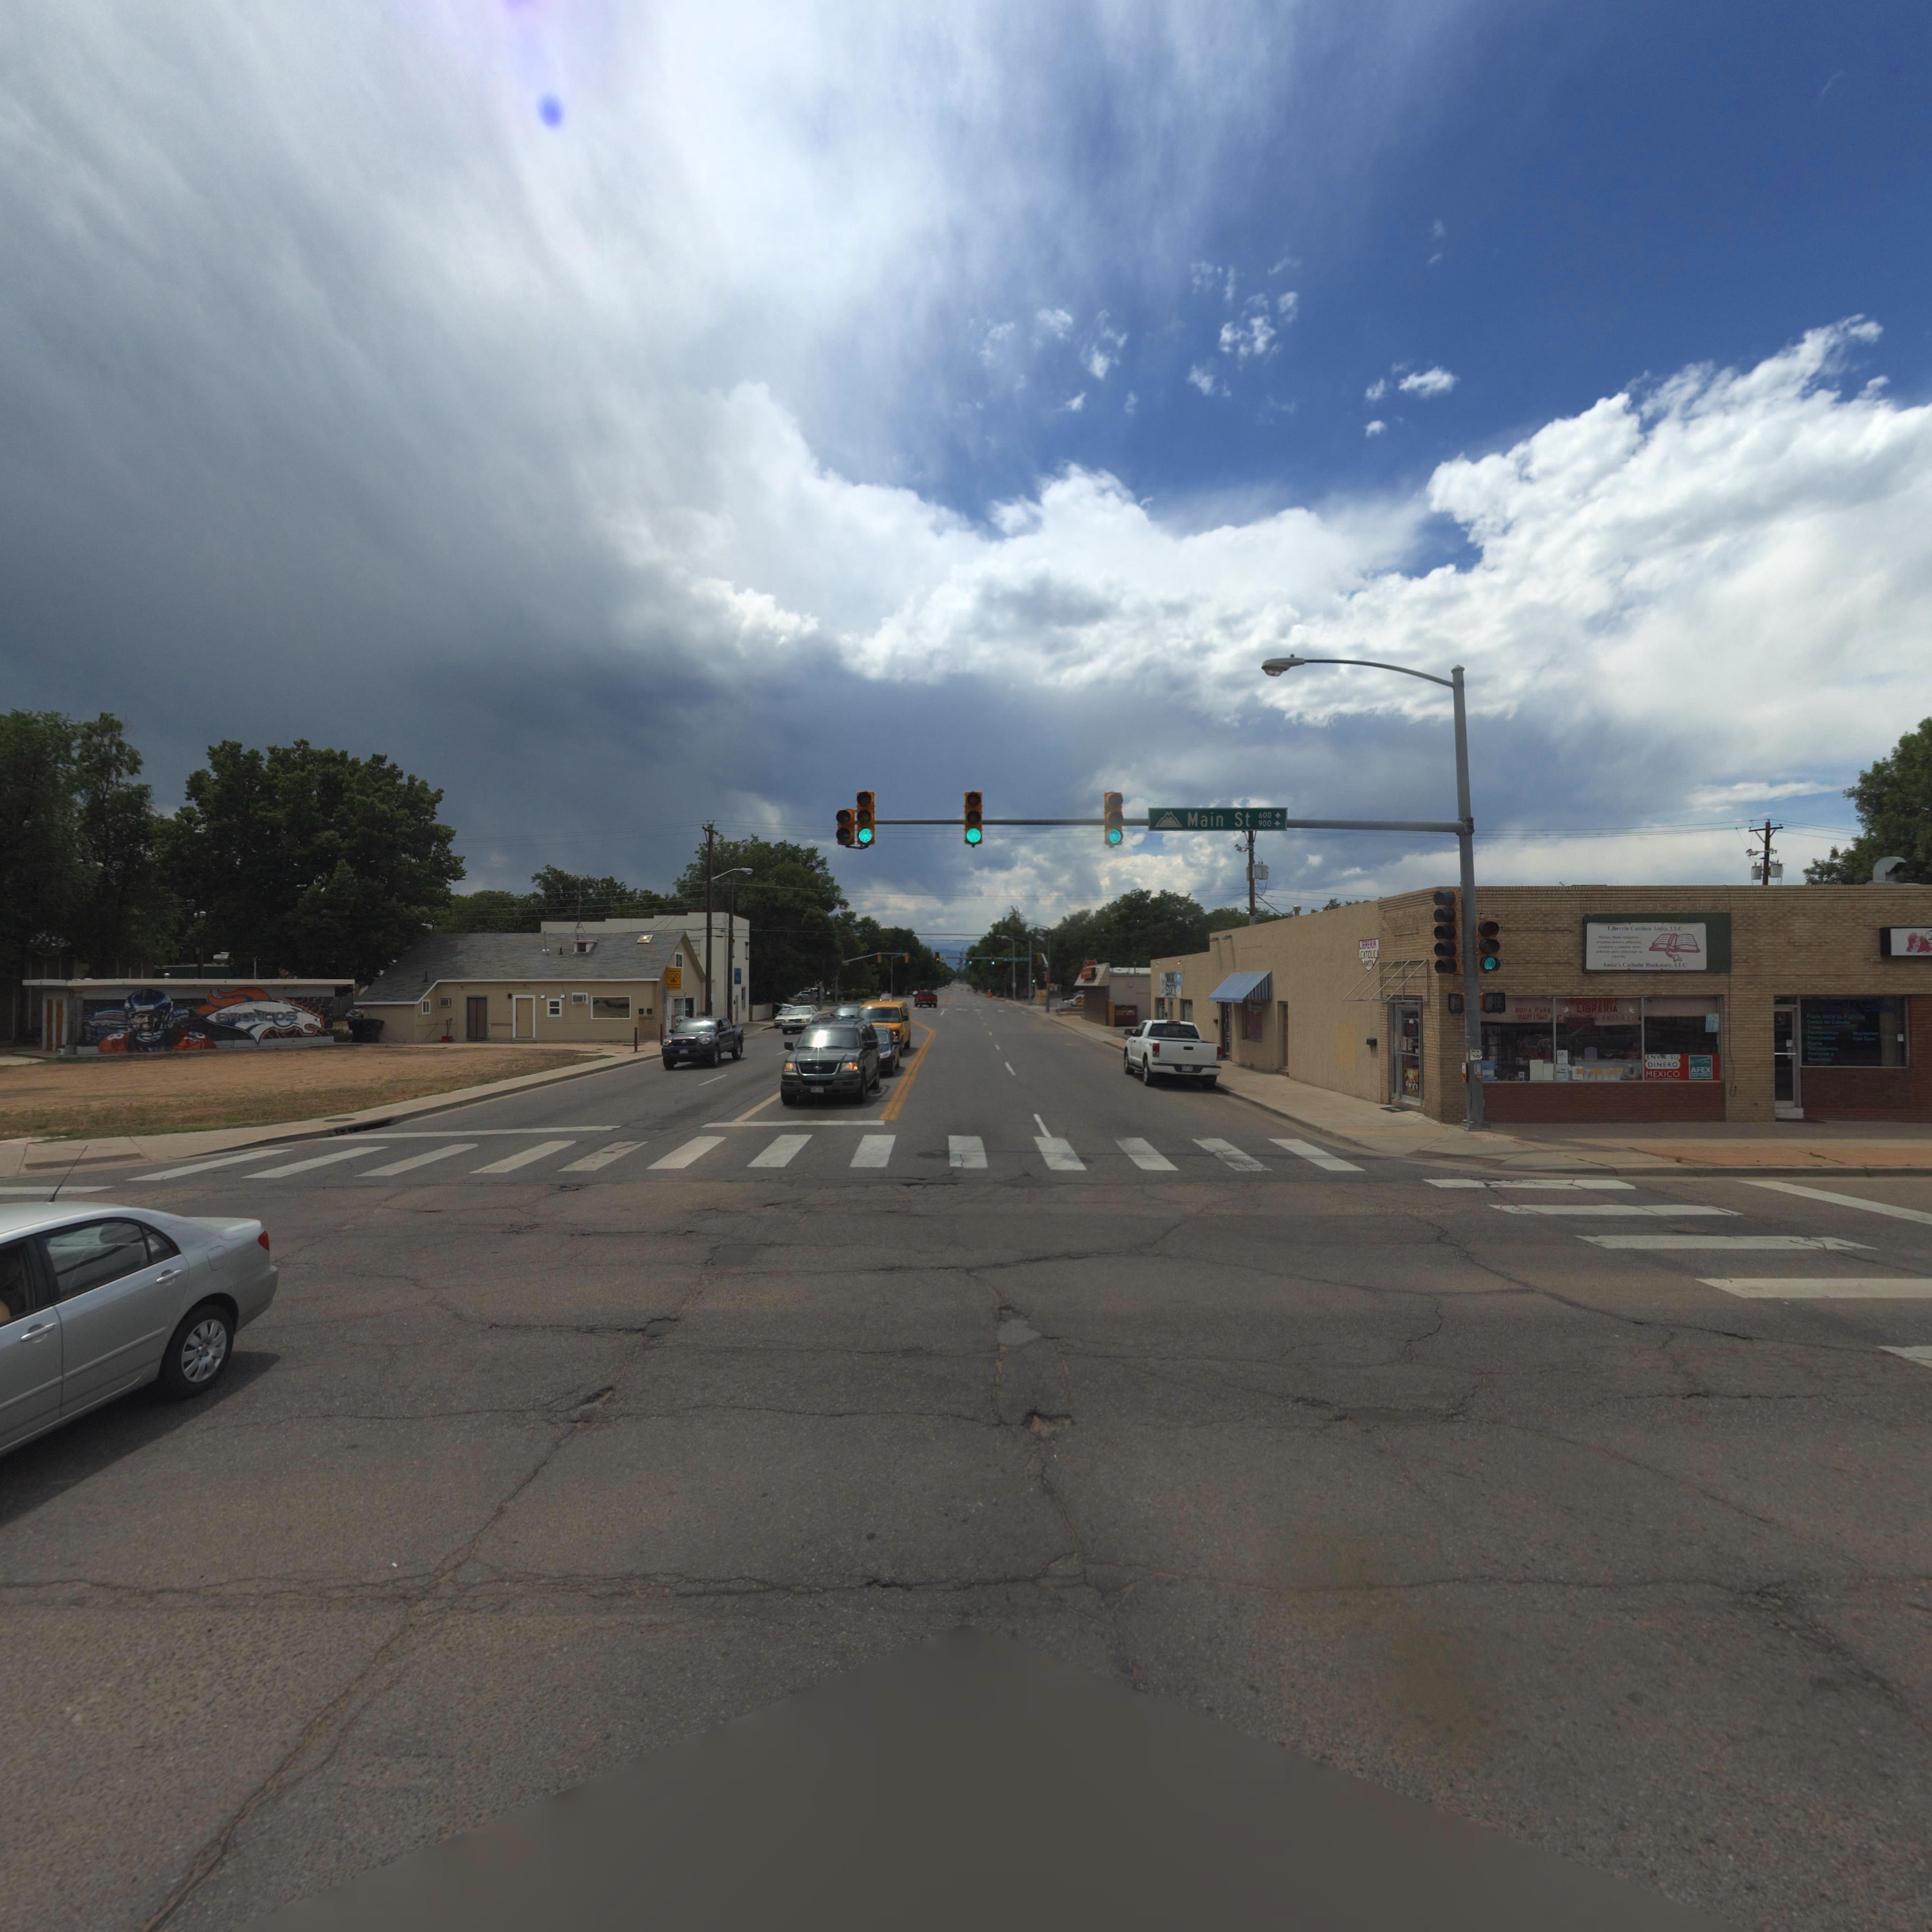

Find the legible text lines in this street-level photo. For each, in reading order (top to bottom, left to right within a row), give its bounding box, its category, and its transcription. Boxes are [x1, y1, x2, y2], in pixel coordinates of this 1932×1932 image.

[1187, 810, 1251, 828] StreetName: Main St
[1258, 811, 1272, 819] SecondaryUnitDesignator: 600
[1258, 820, 1281, 827] StreetNumberRange: 900->
[1607, 925, 1683, 931] BusinessName: Libr*ria Ca***ica A***** LLC
[1359, 939, 1377, 949] BusinessName: LIBRERIA
[1360, 949, 1380, 959] BusinessName: CATOLICA
[1363, 959, 1373, 967] BusinessName: ANITA
[1600, 961, 1688, 968] BusinessName: Anita*s Catholic Bookstore LLC
[1165, 971, 1175, 983] BusinessName: H***
[1165, 983, 1177, 996] BusinessName: SO**